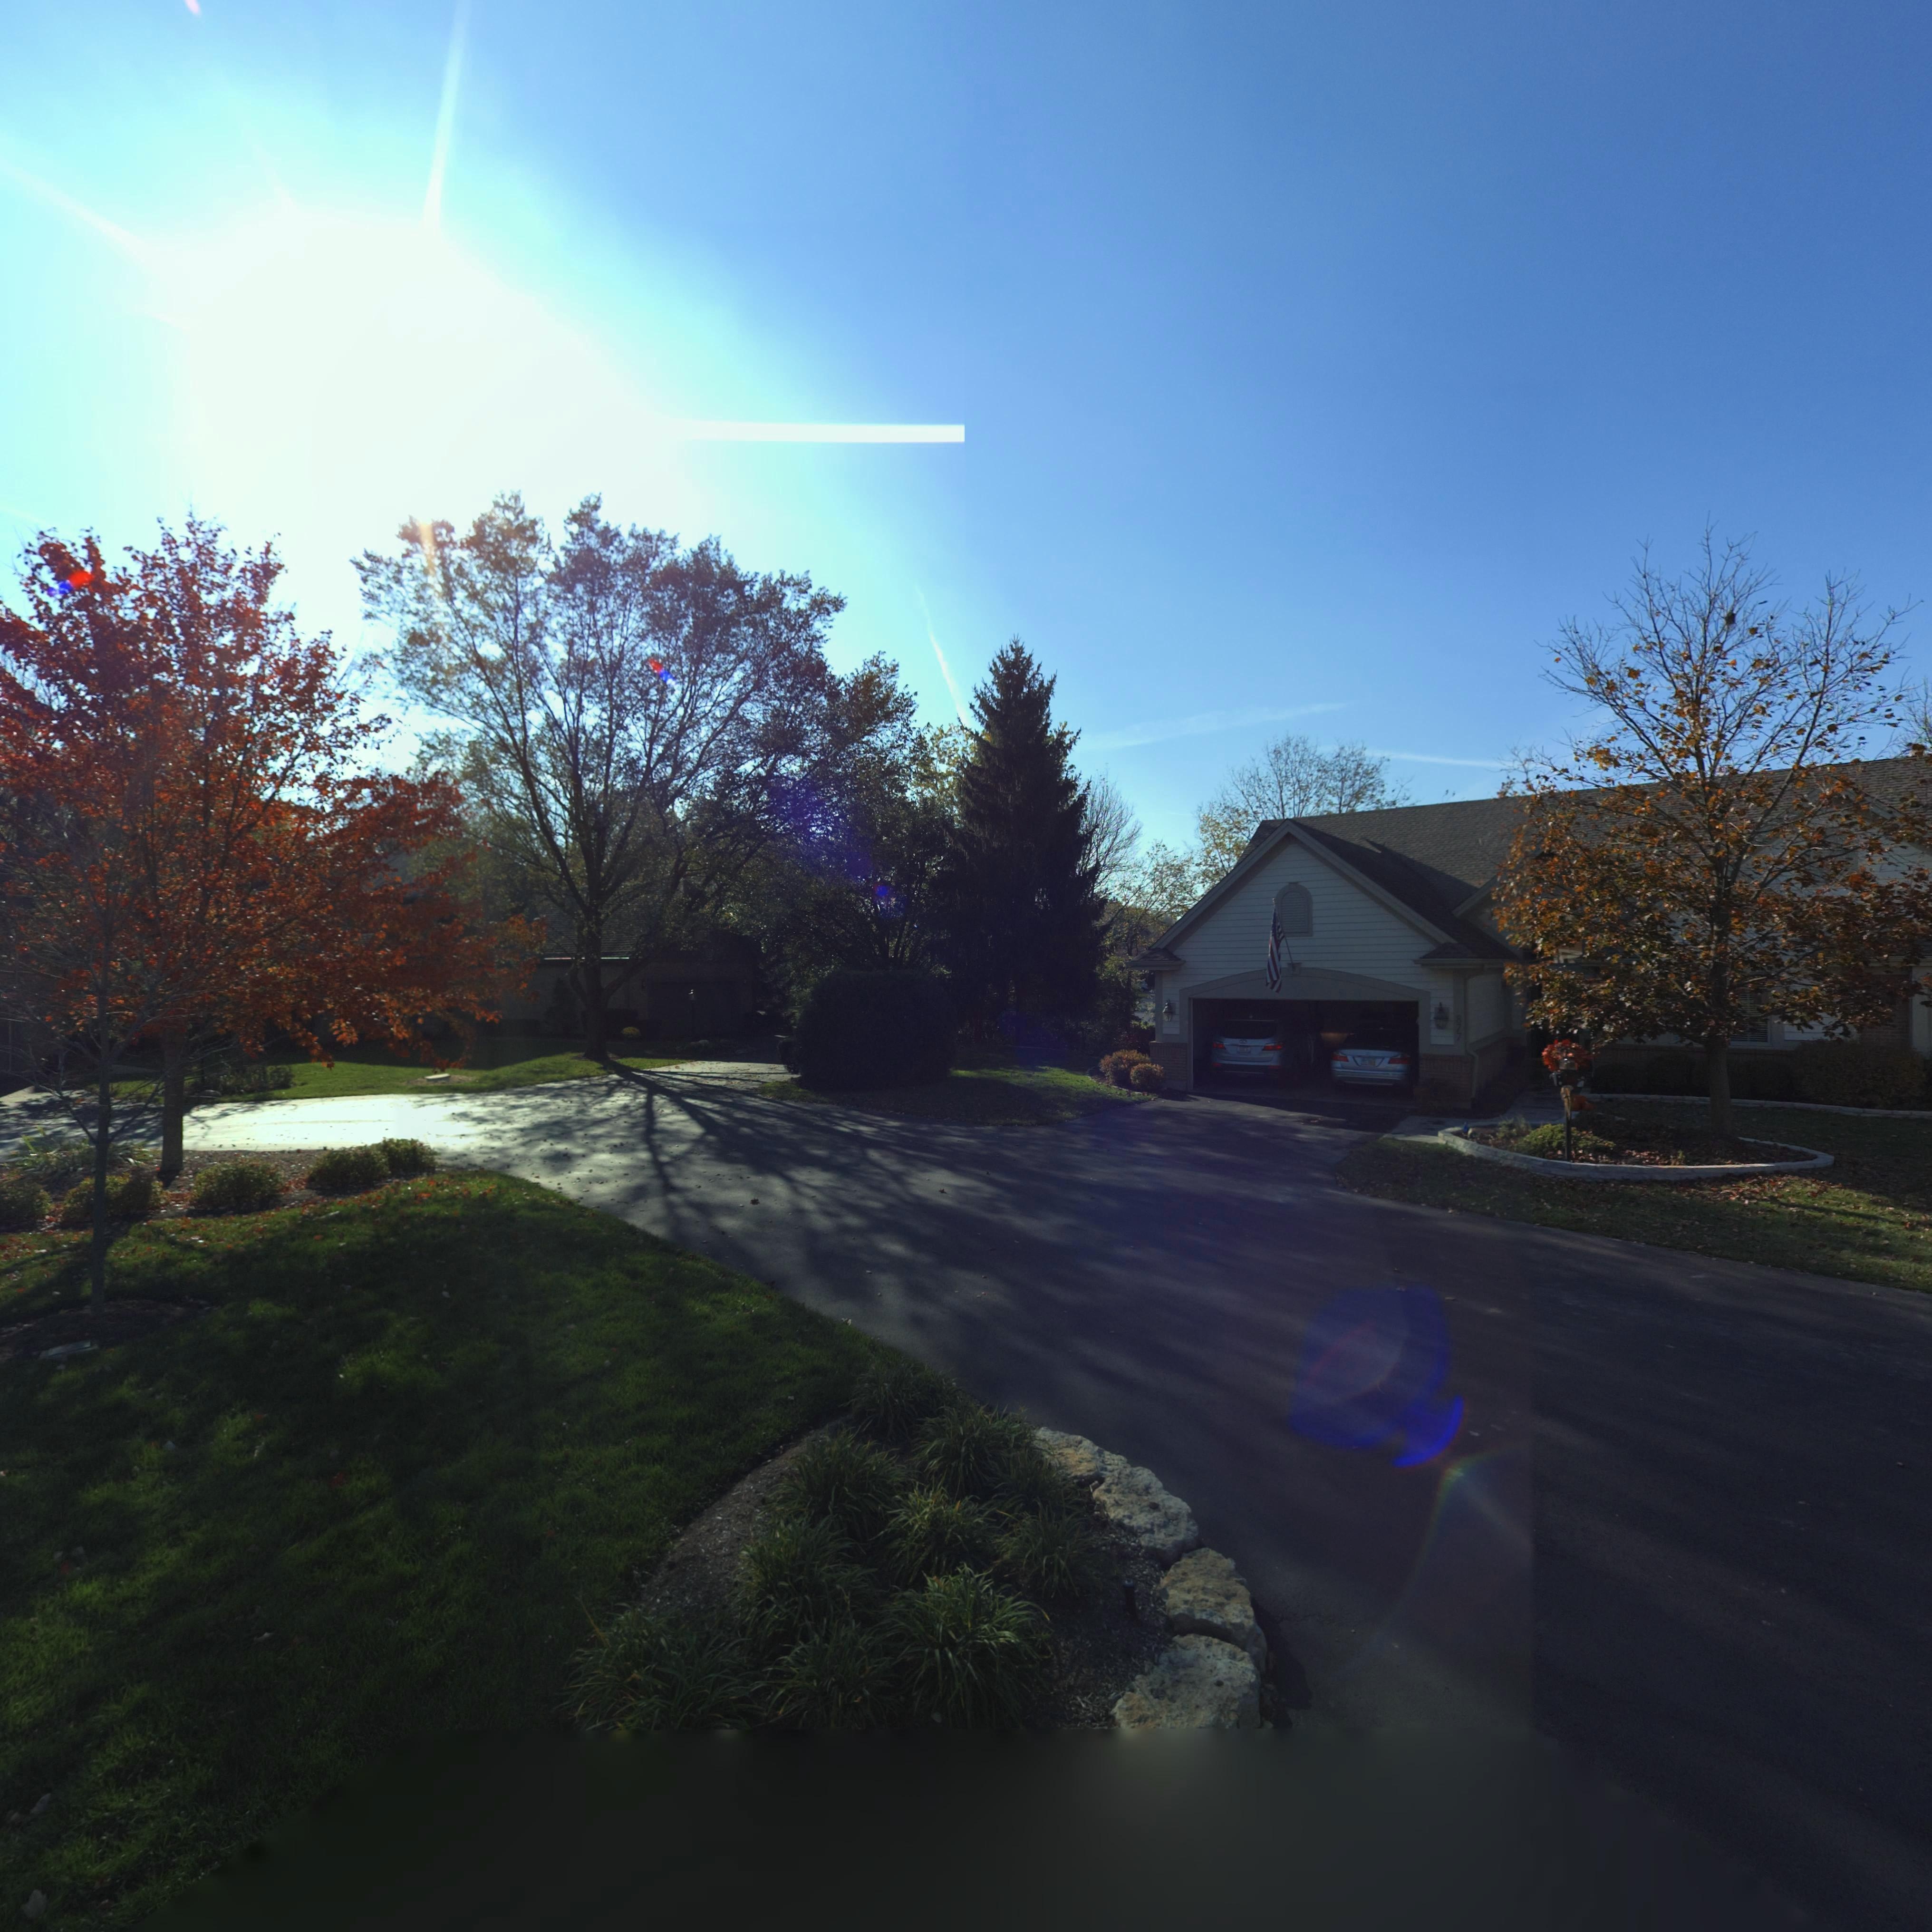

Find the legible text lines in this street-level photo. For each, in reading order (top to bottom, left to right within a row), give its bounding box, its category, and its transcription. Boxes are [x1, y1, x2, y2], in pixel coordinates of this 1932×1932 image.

[1455, 1014, 1463, 1043] StreetNumber: 877